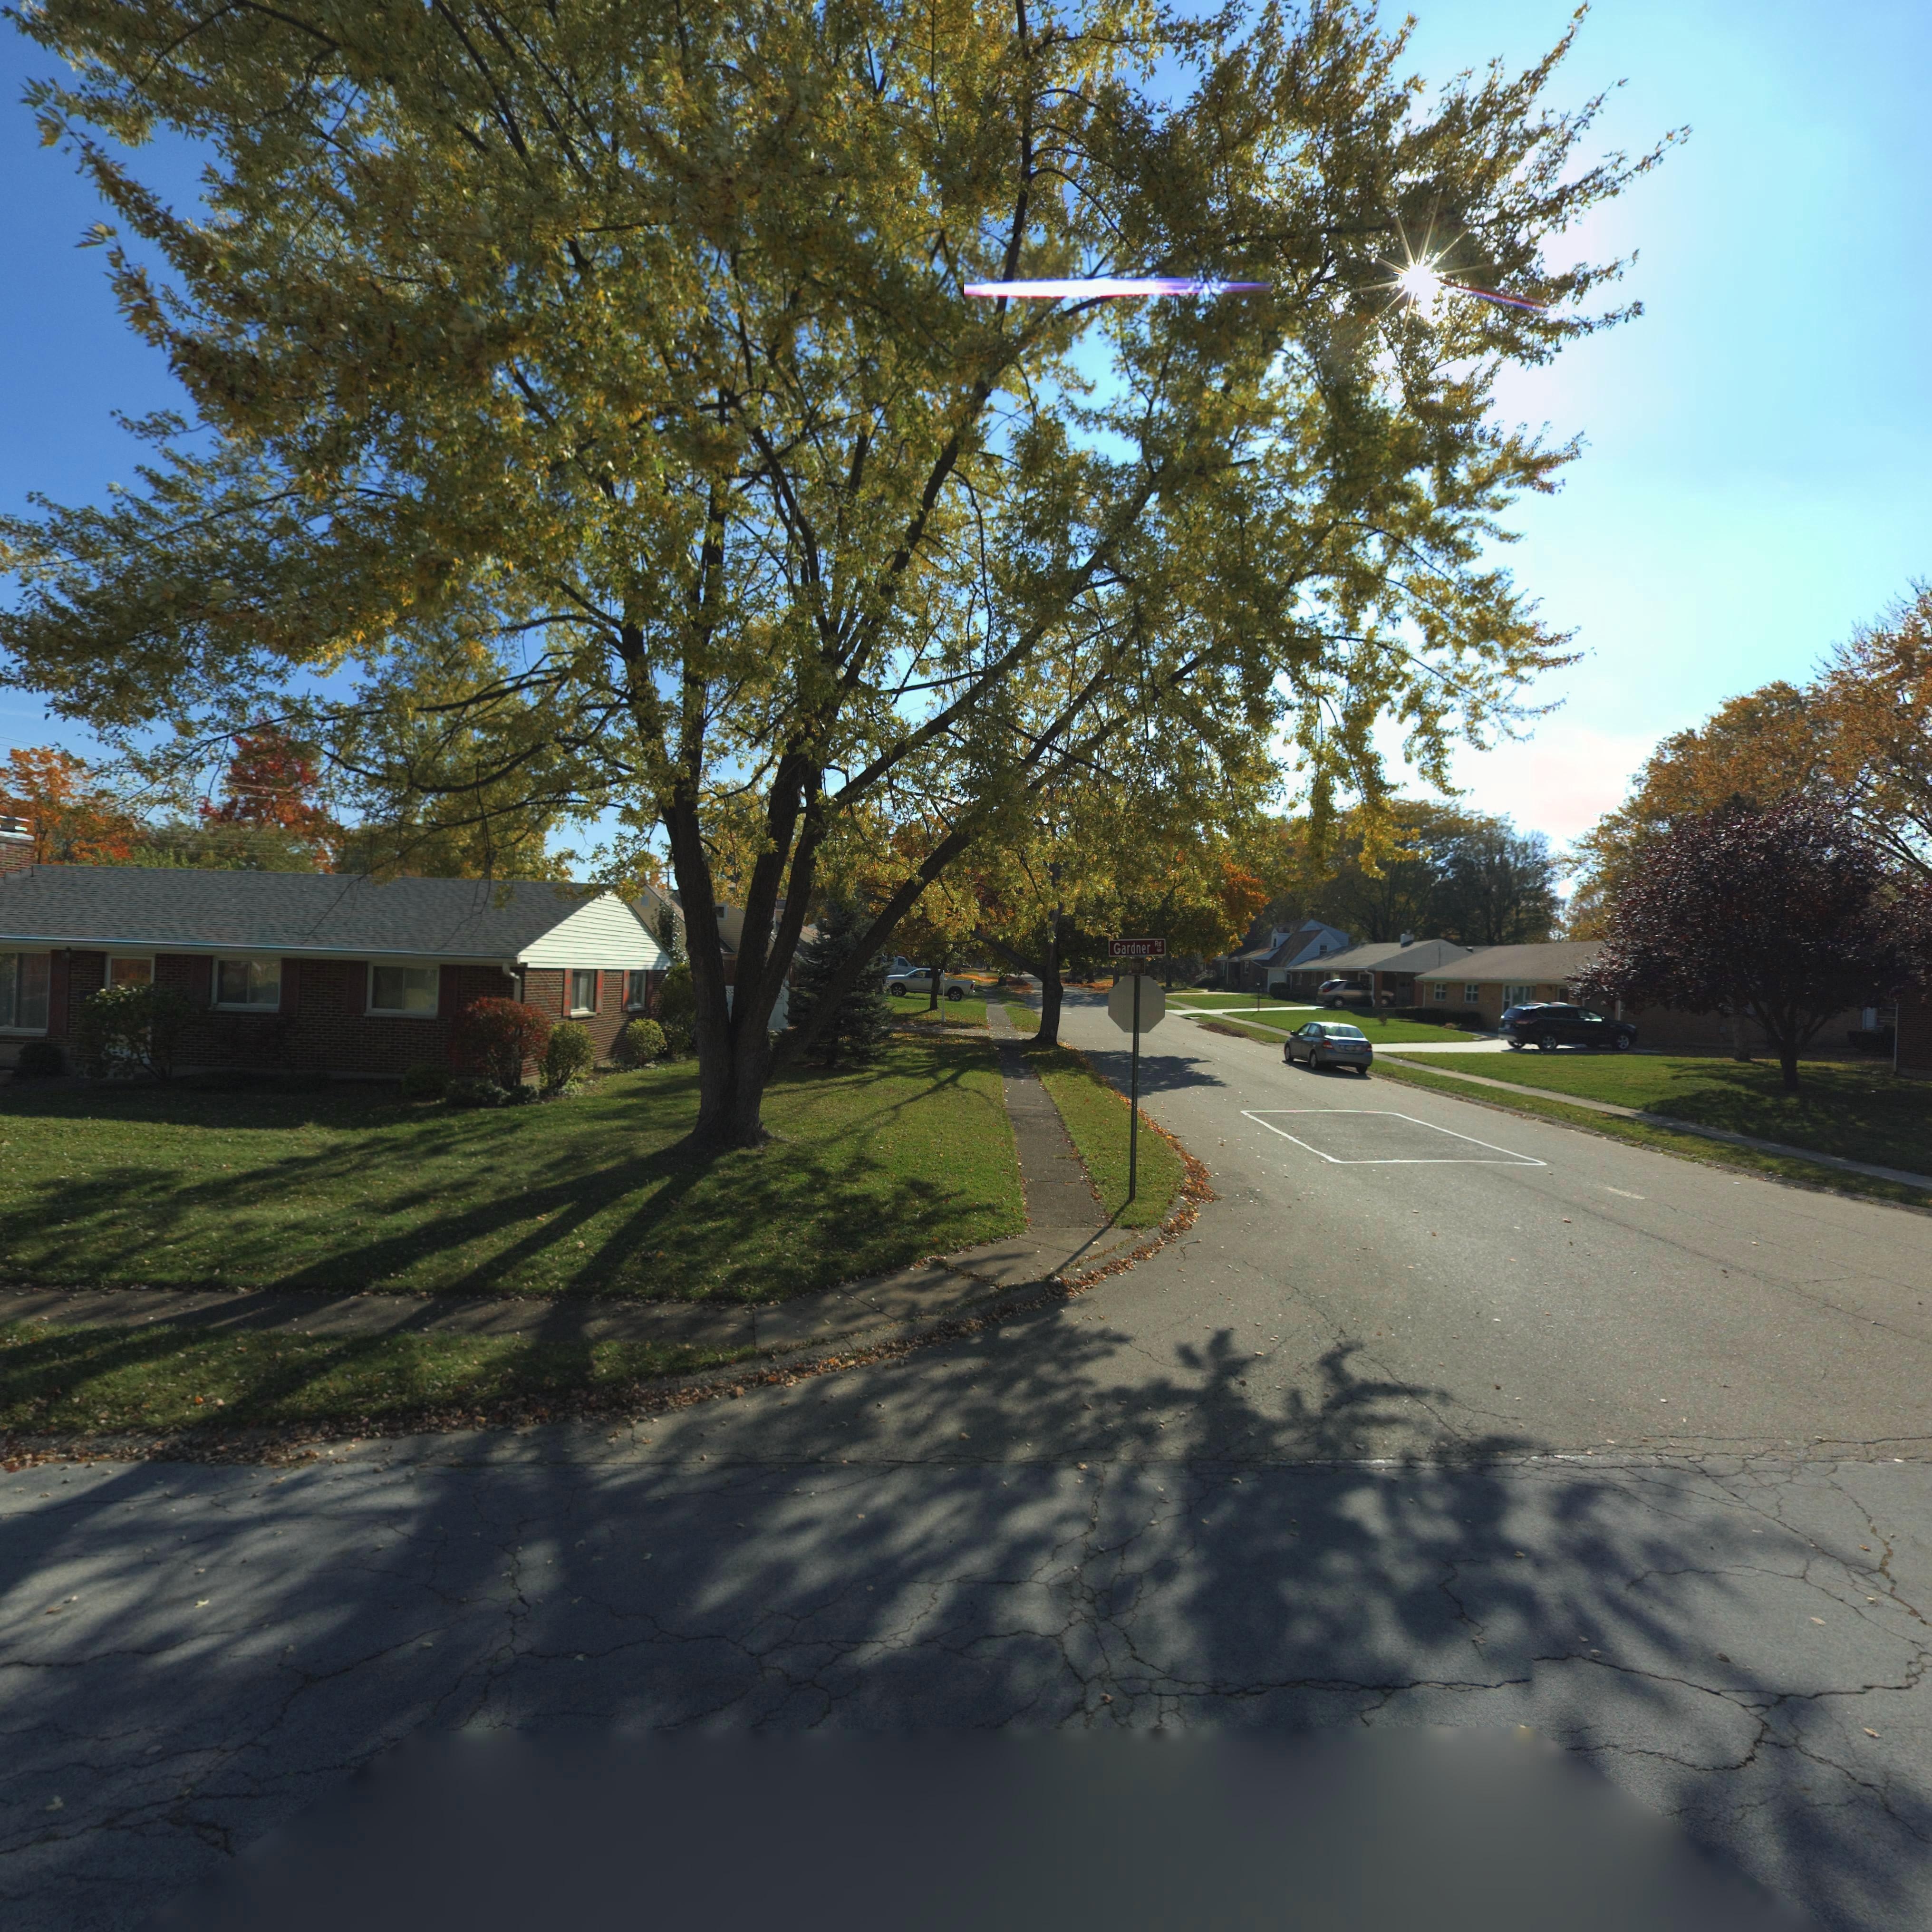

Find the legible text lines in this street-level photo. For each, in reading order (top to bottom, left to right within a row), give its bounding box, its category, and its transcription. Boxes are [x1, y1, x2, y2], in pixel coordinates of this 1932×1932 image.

[1112, 939, 1163, 956] StreetName: Gardner Rd